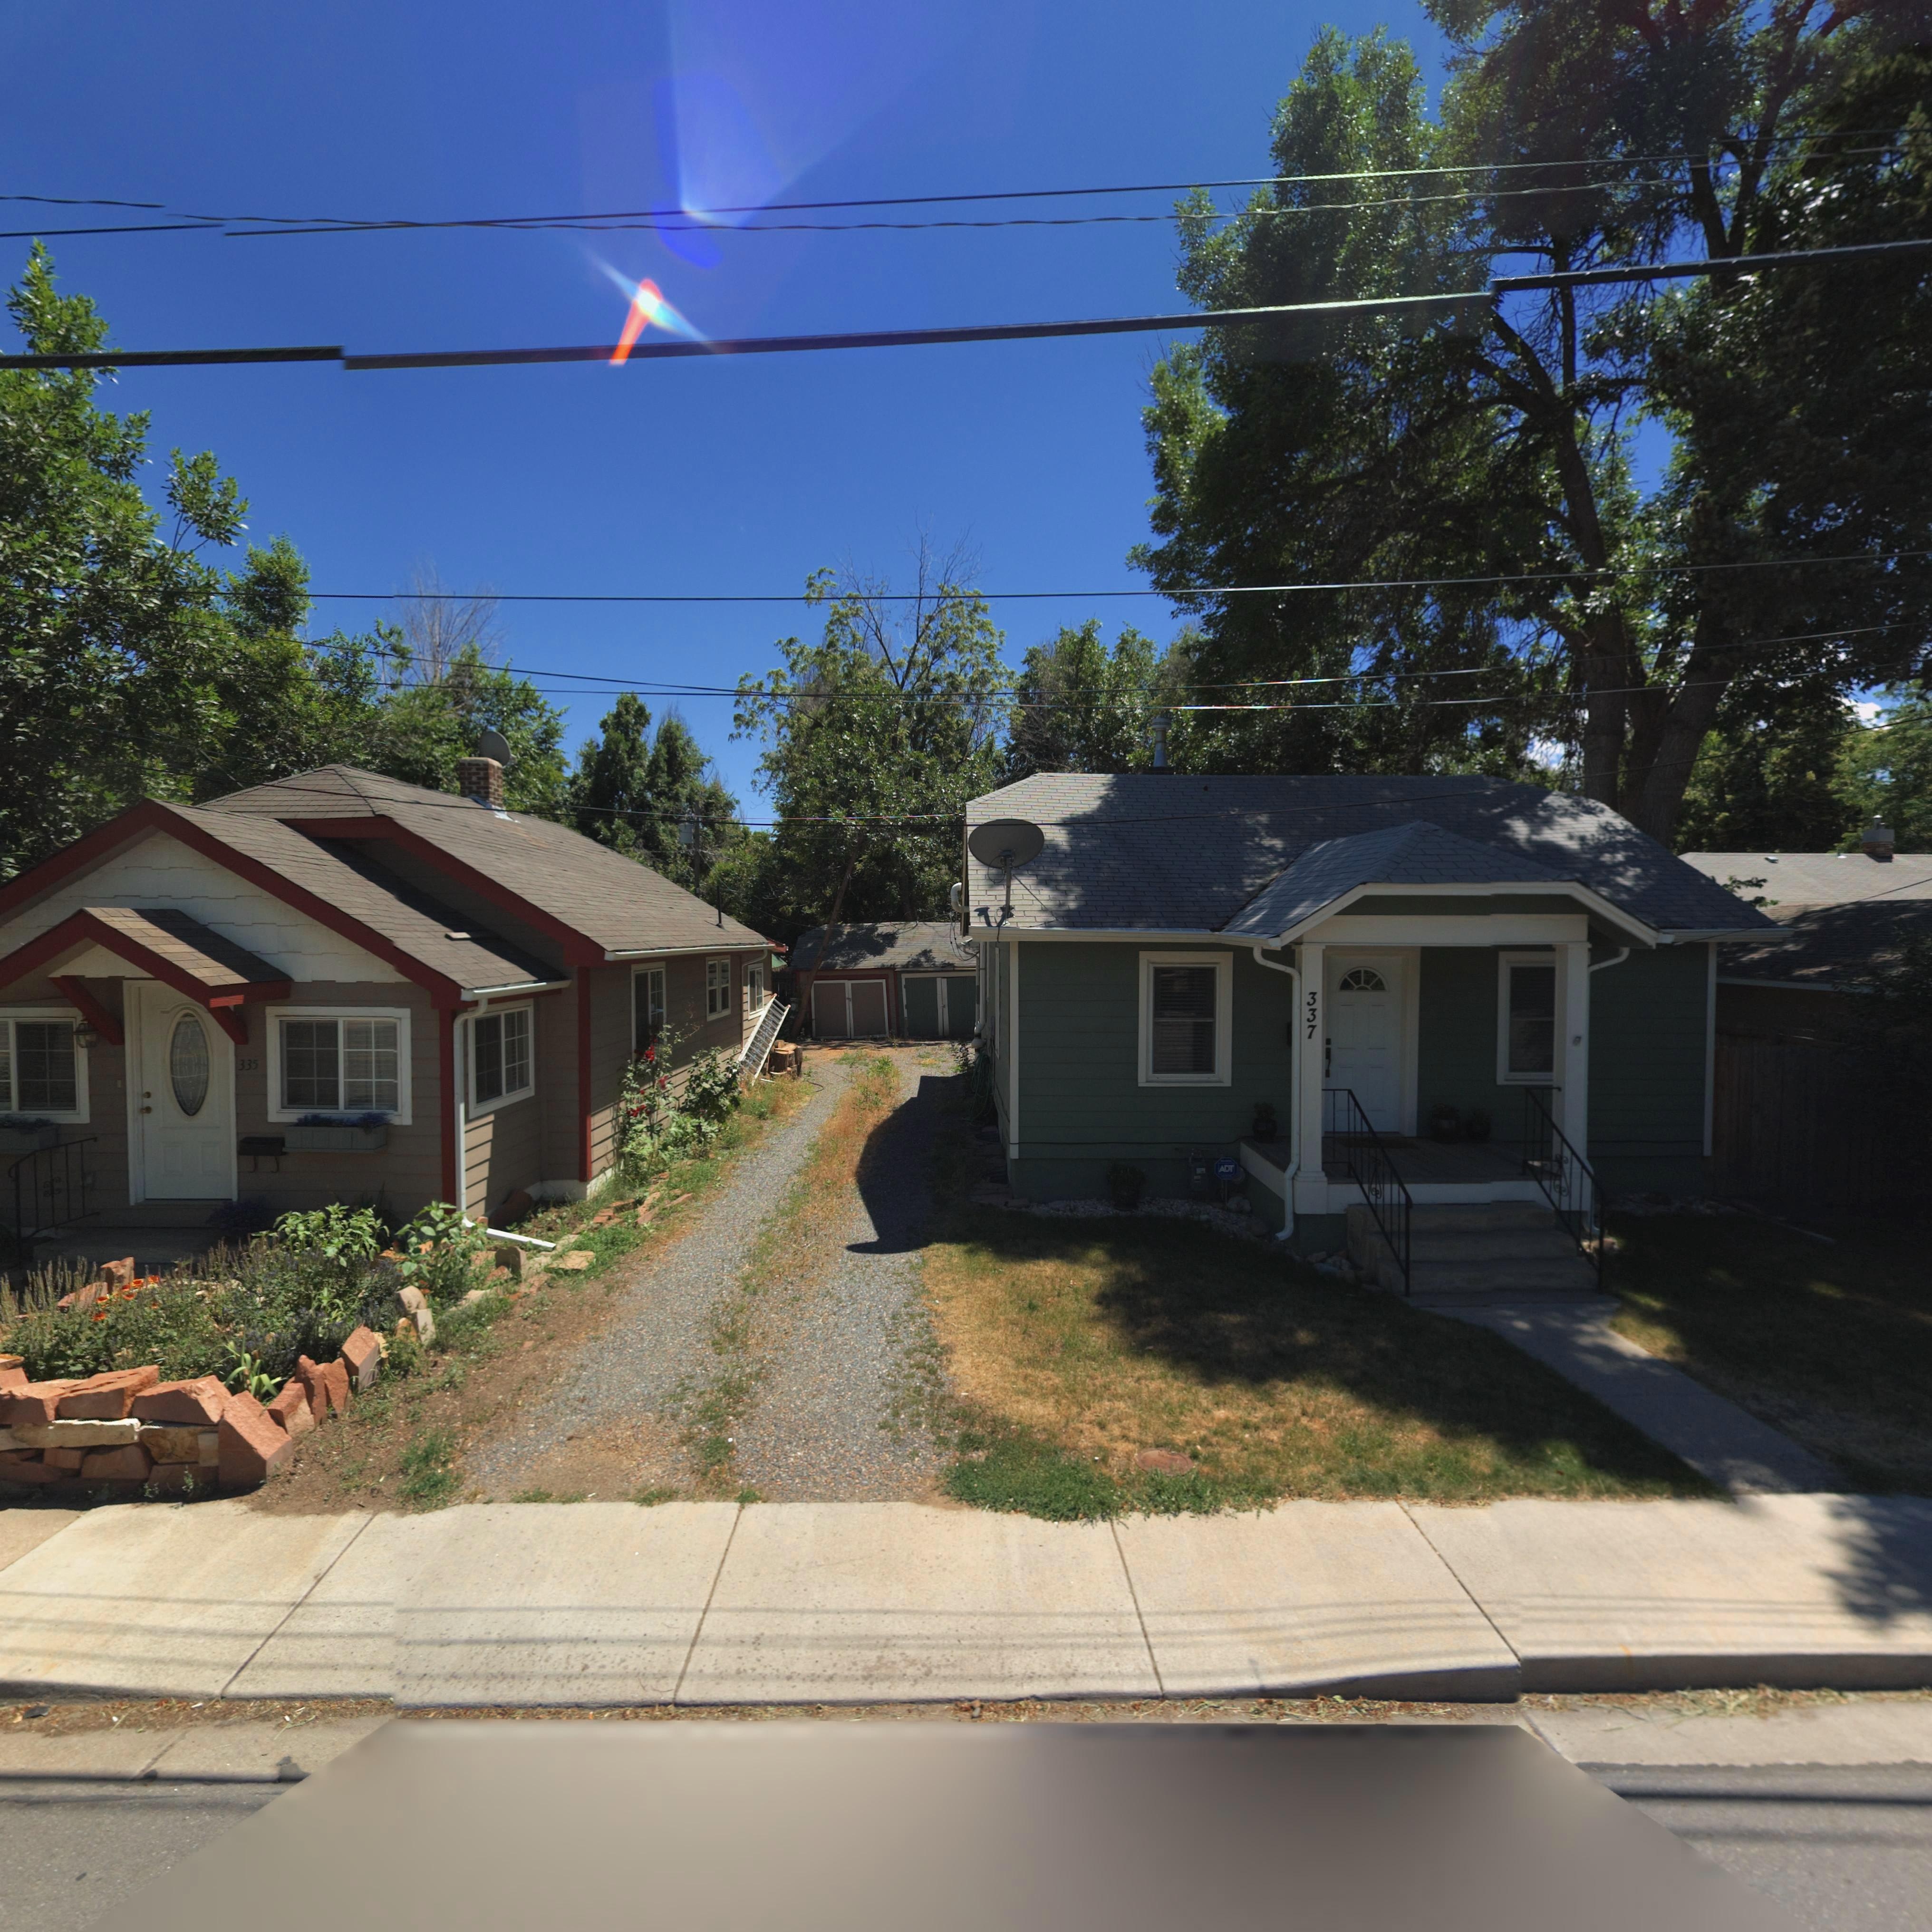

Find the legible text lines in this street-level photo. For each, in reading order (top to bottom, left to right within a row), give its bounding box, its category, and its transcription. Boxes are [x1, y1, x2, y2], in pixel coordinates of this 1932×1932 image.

[1306, 991, 1317, 1039] StreetNumber: 337
[237, 1058, 259, 1071] StreetNumber: 335